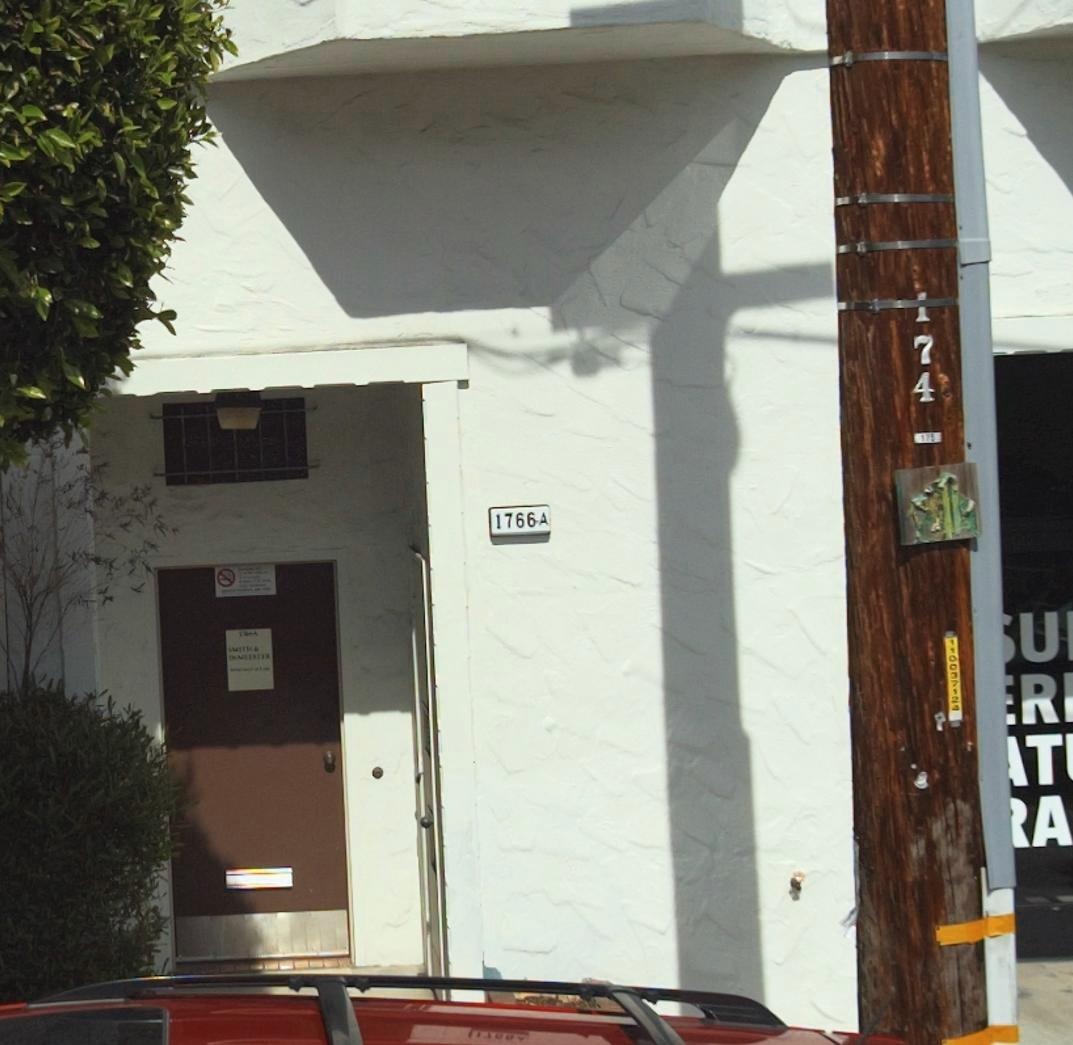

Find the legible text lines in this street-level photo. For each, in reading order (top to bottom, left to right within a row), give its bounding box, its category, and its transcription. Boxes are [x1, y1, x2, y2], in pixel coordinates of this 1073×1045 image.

[910, 290, 938, 405] None: *74
[919, 433, 936, 444] None: 1*5
[494, 510, 551, 530] StreetNumber: 1766-A
[227, 645, 253, 654] None: SMITH
[946, 637, 961, 712] None: 11003712*
[1017, 609, 1061, 665] None: U
[1019, 672, 1062, 726] None: R
[1024, 732, 1065, 786] None: T
[1031, 795, 1073, 849] None: A